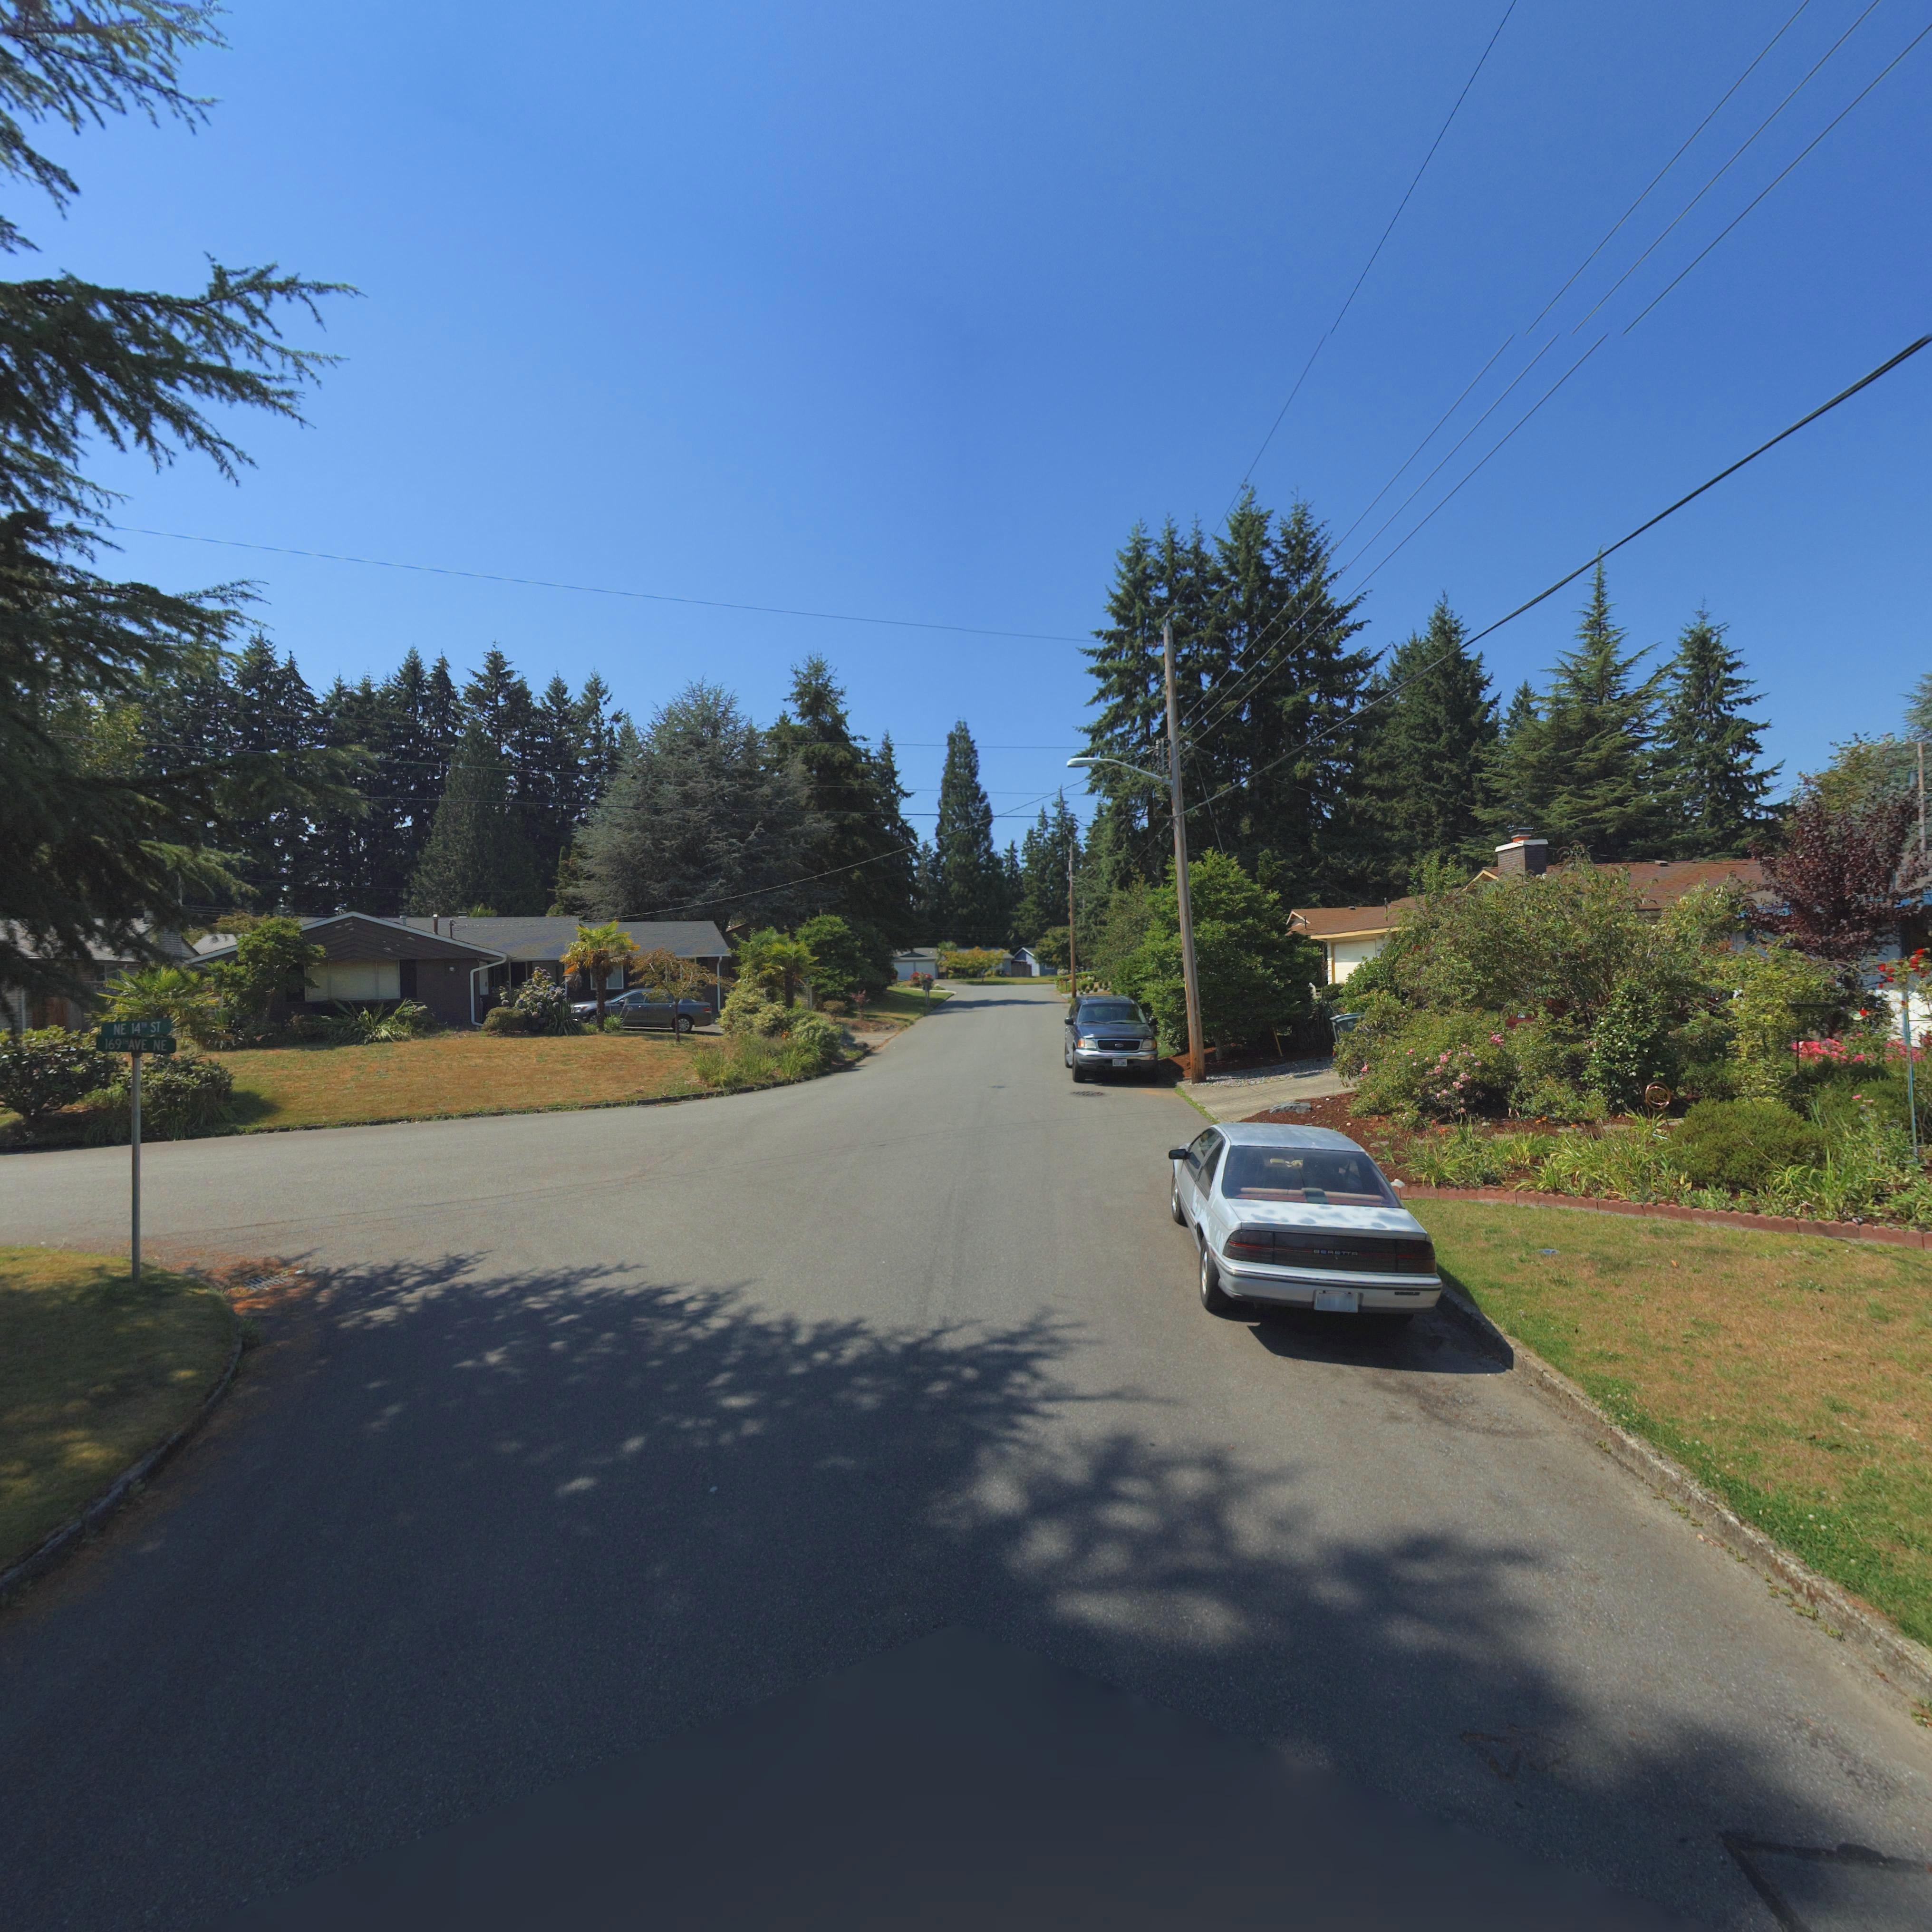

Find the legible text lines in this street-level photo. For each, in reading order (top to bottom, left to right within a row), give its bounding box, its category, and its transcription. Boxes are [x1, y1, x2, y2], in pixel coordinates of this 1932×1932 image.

[112, 1020, 162, 1036] StreetName: NE 14TH ST
[103, 1037, 167, 1052] StreetName: 169TH AVE NE